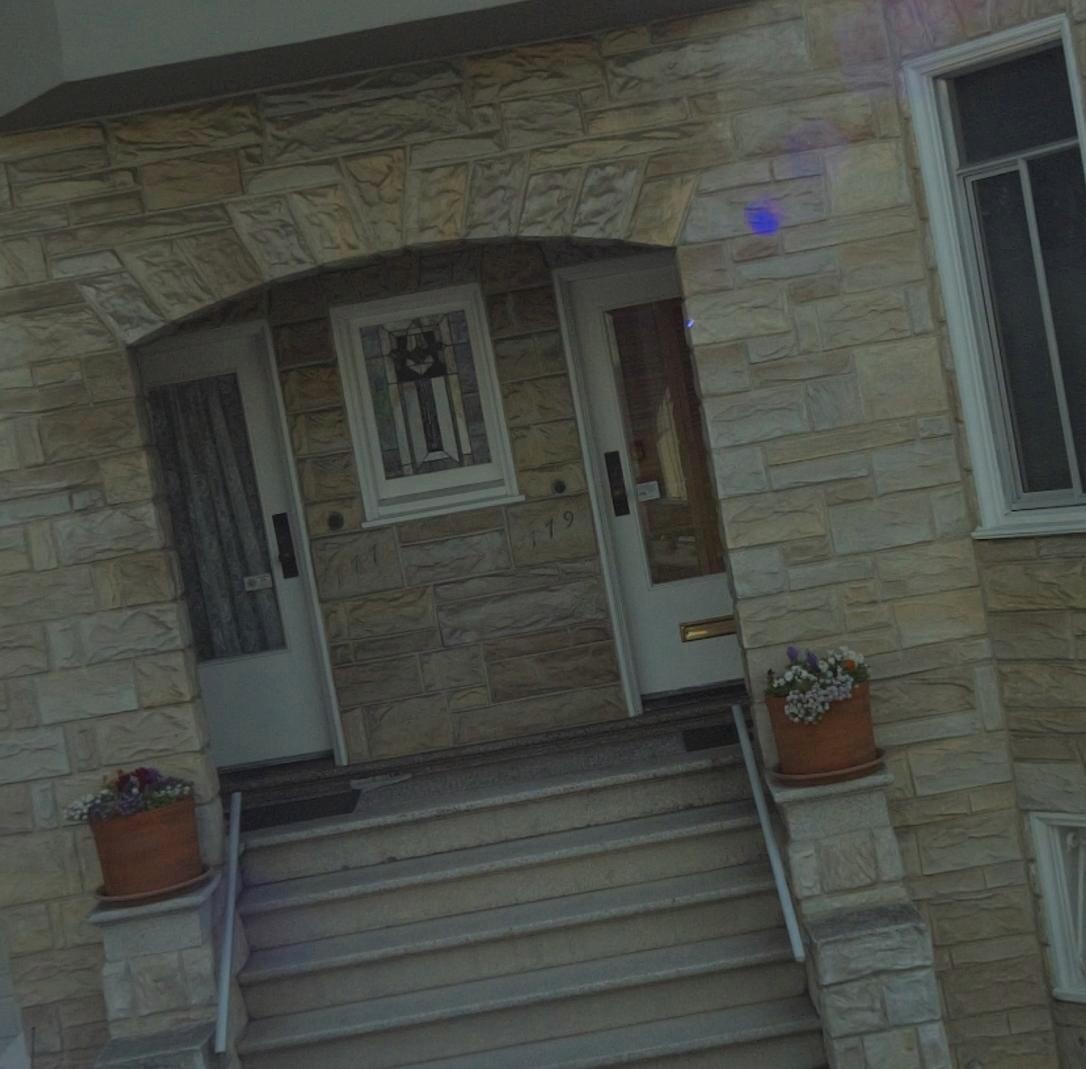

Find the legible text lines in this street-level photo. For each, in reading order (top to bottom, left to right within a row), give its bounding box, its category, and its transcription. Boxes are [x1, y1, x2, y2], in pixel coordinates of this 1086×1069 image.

[527, 505, 577, 551] StreetNumber: 179